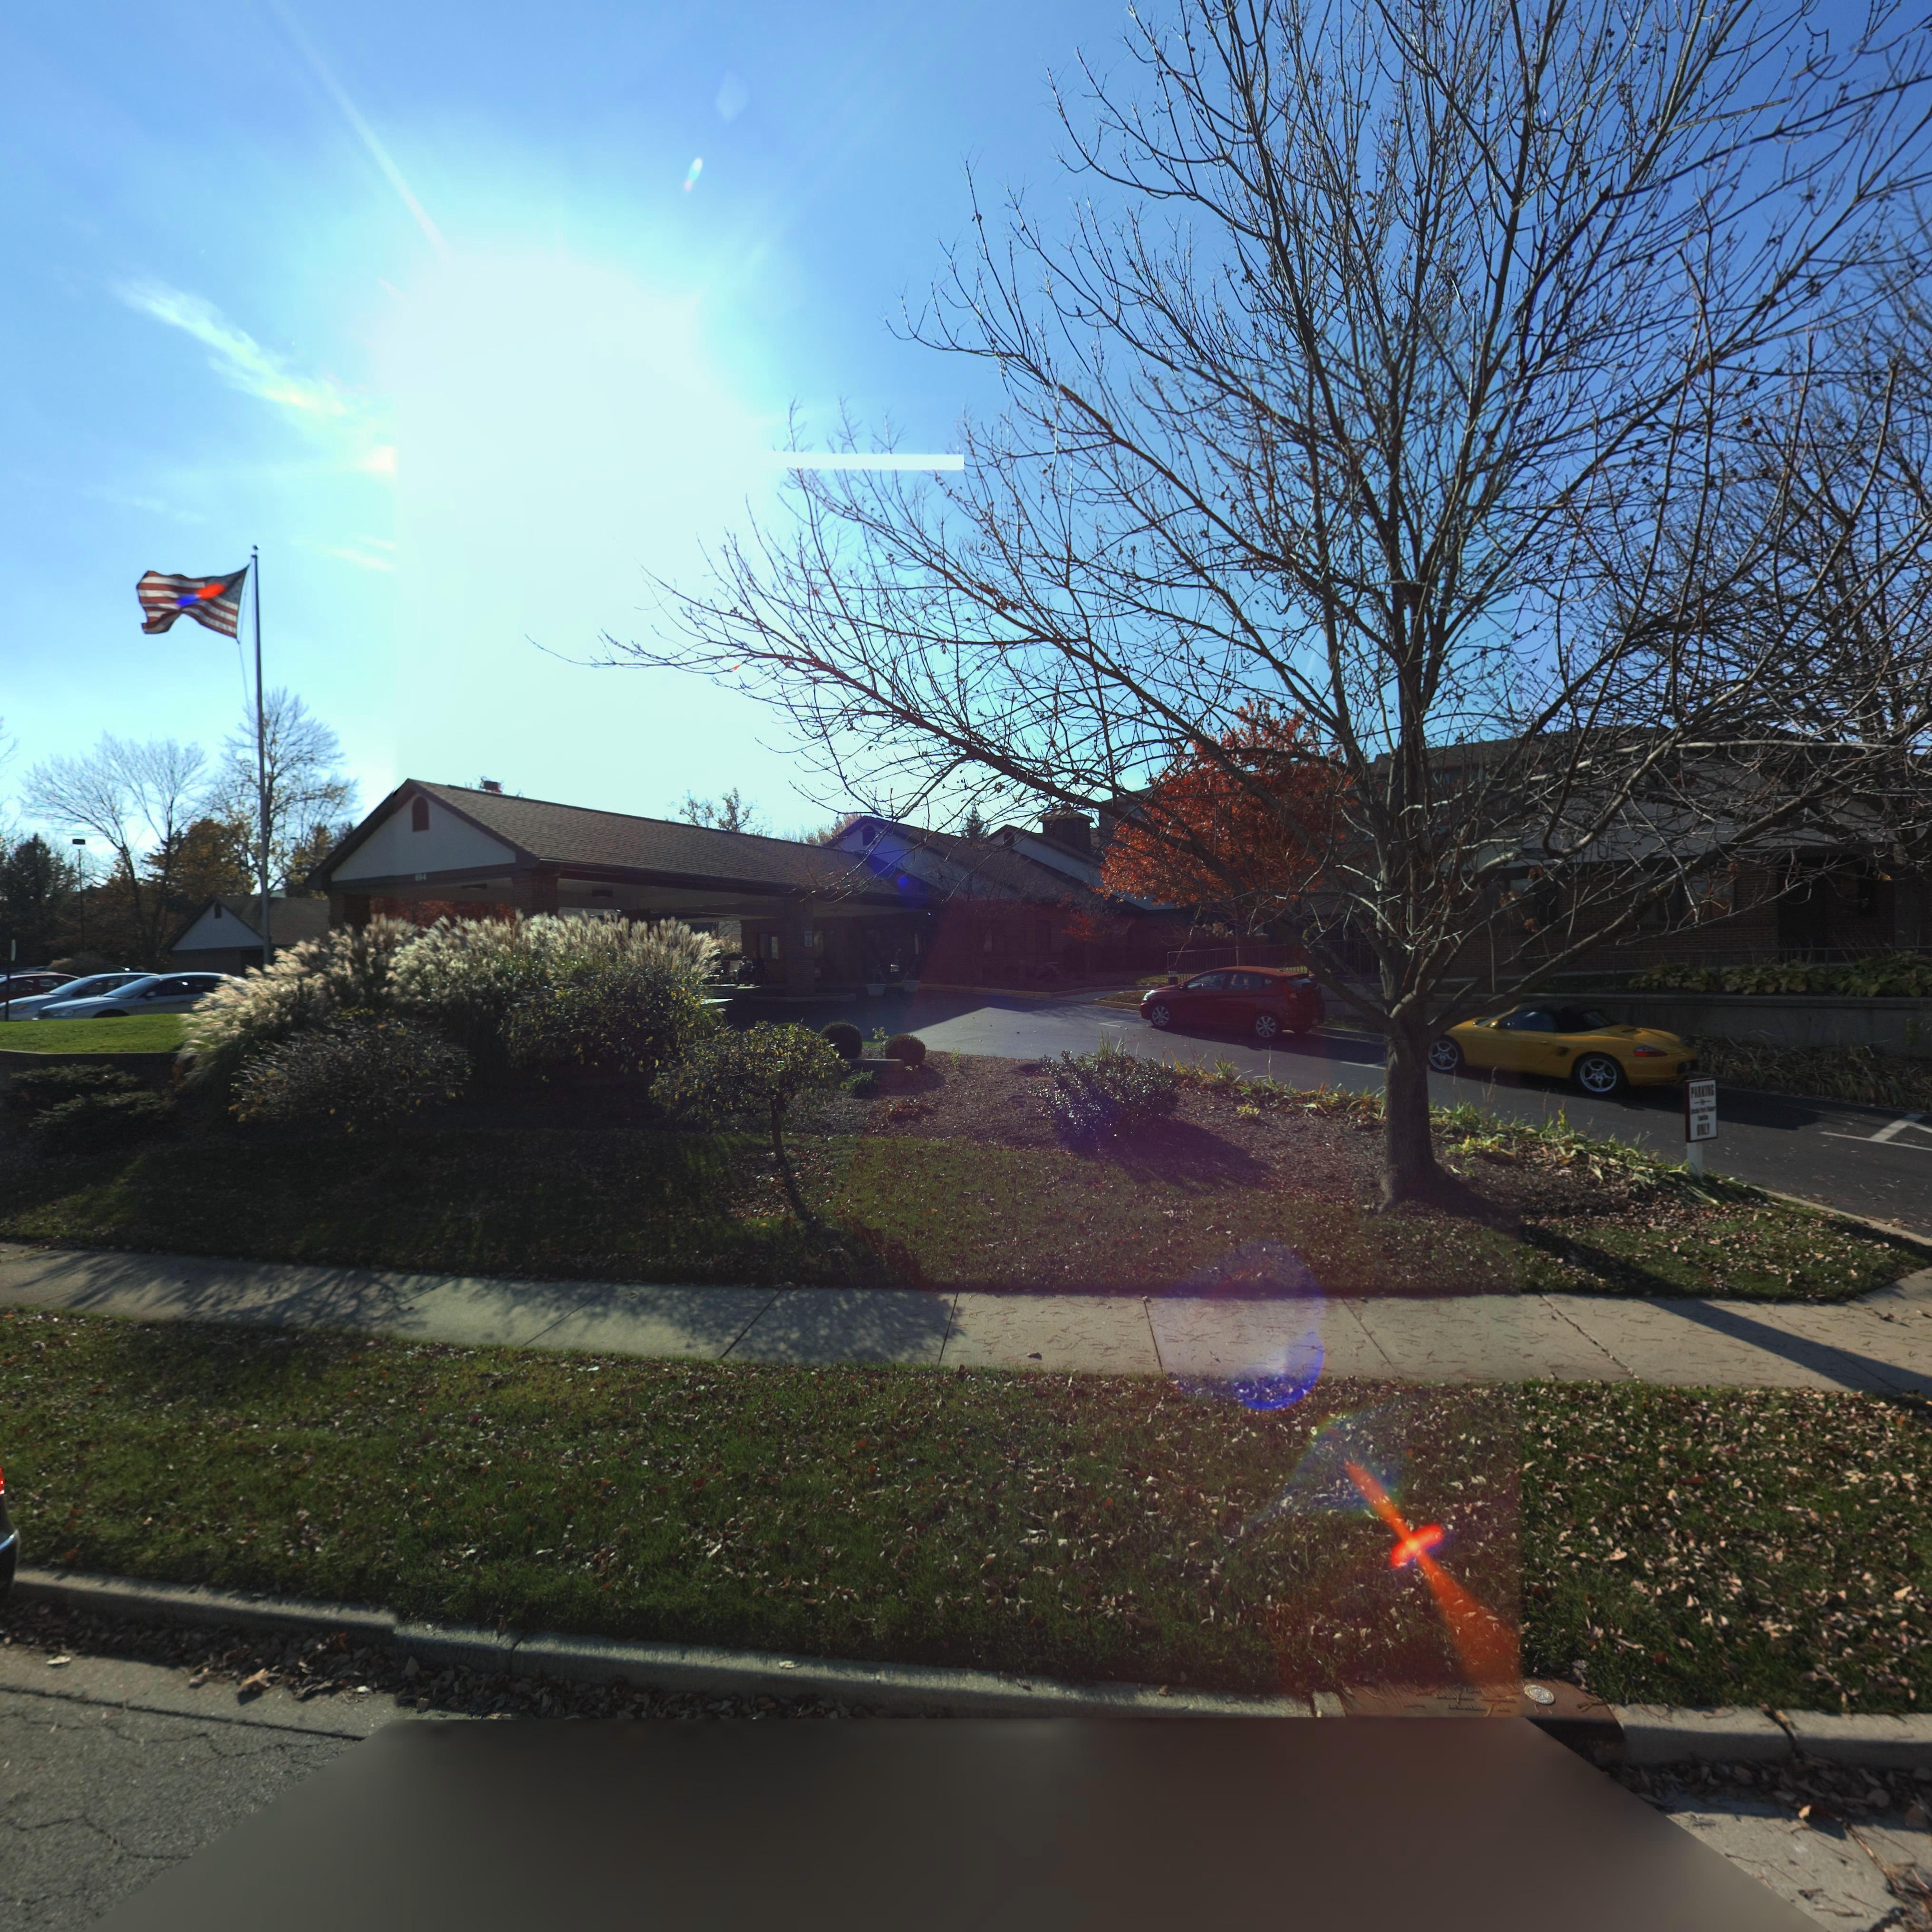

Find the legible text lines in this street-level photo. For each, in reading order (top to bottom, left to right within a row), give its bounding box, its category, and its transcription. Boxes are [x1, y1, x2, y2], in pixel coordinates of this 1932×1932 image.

[414, 872, 427, 882] StreetNumber: 694